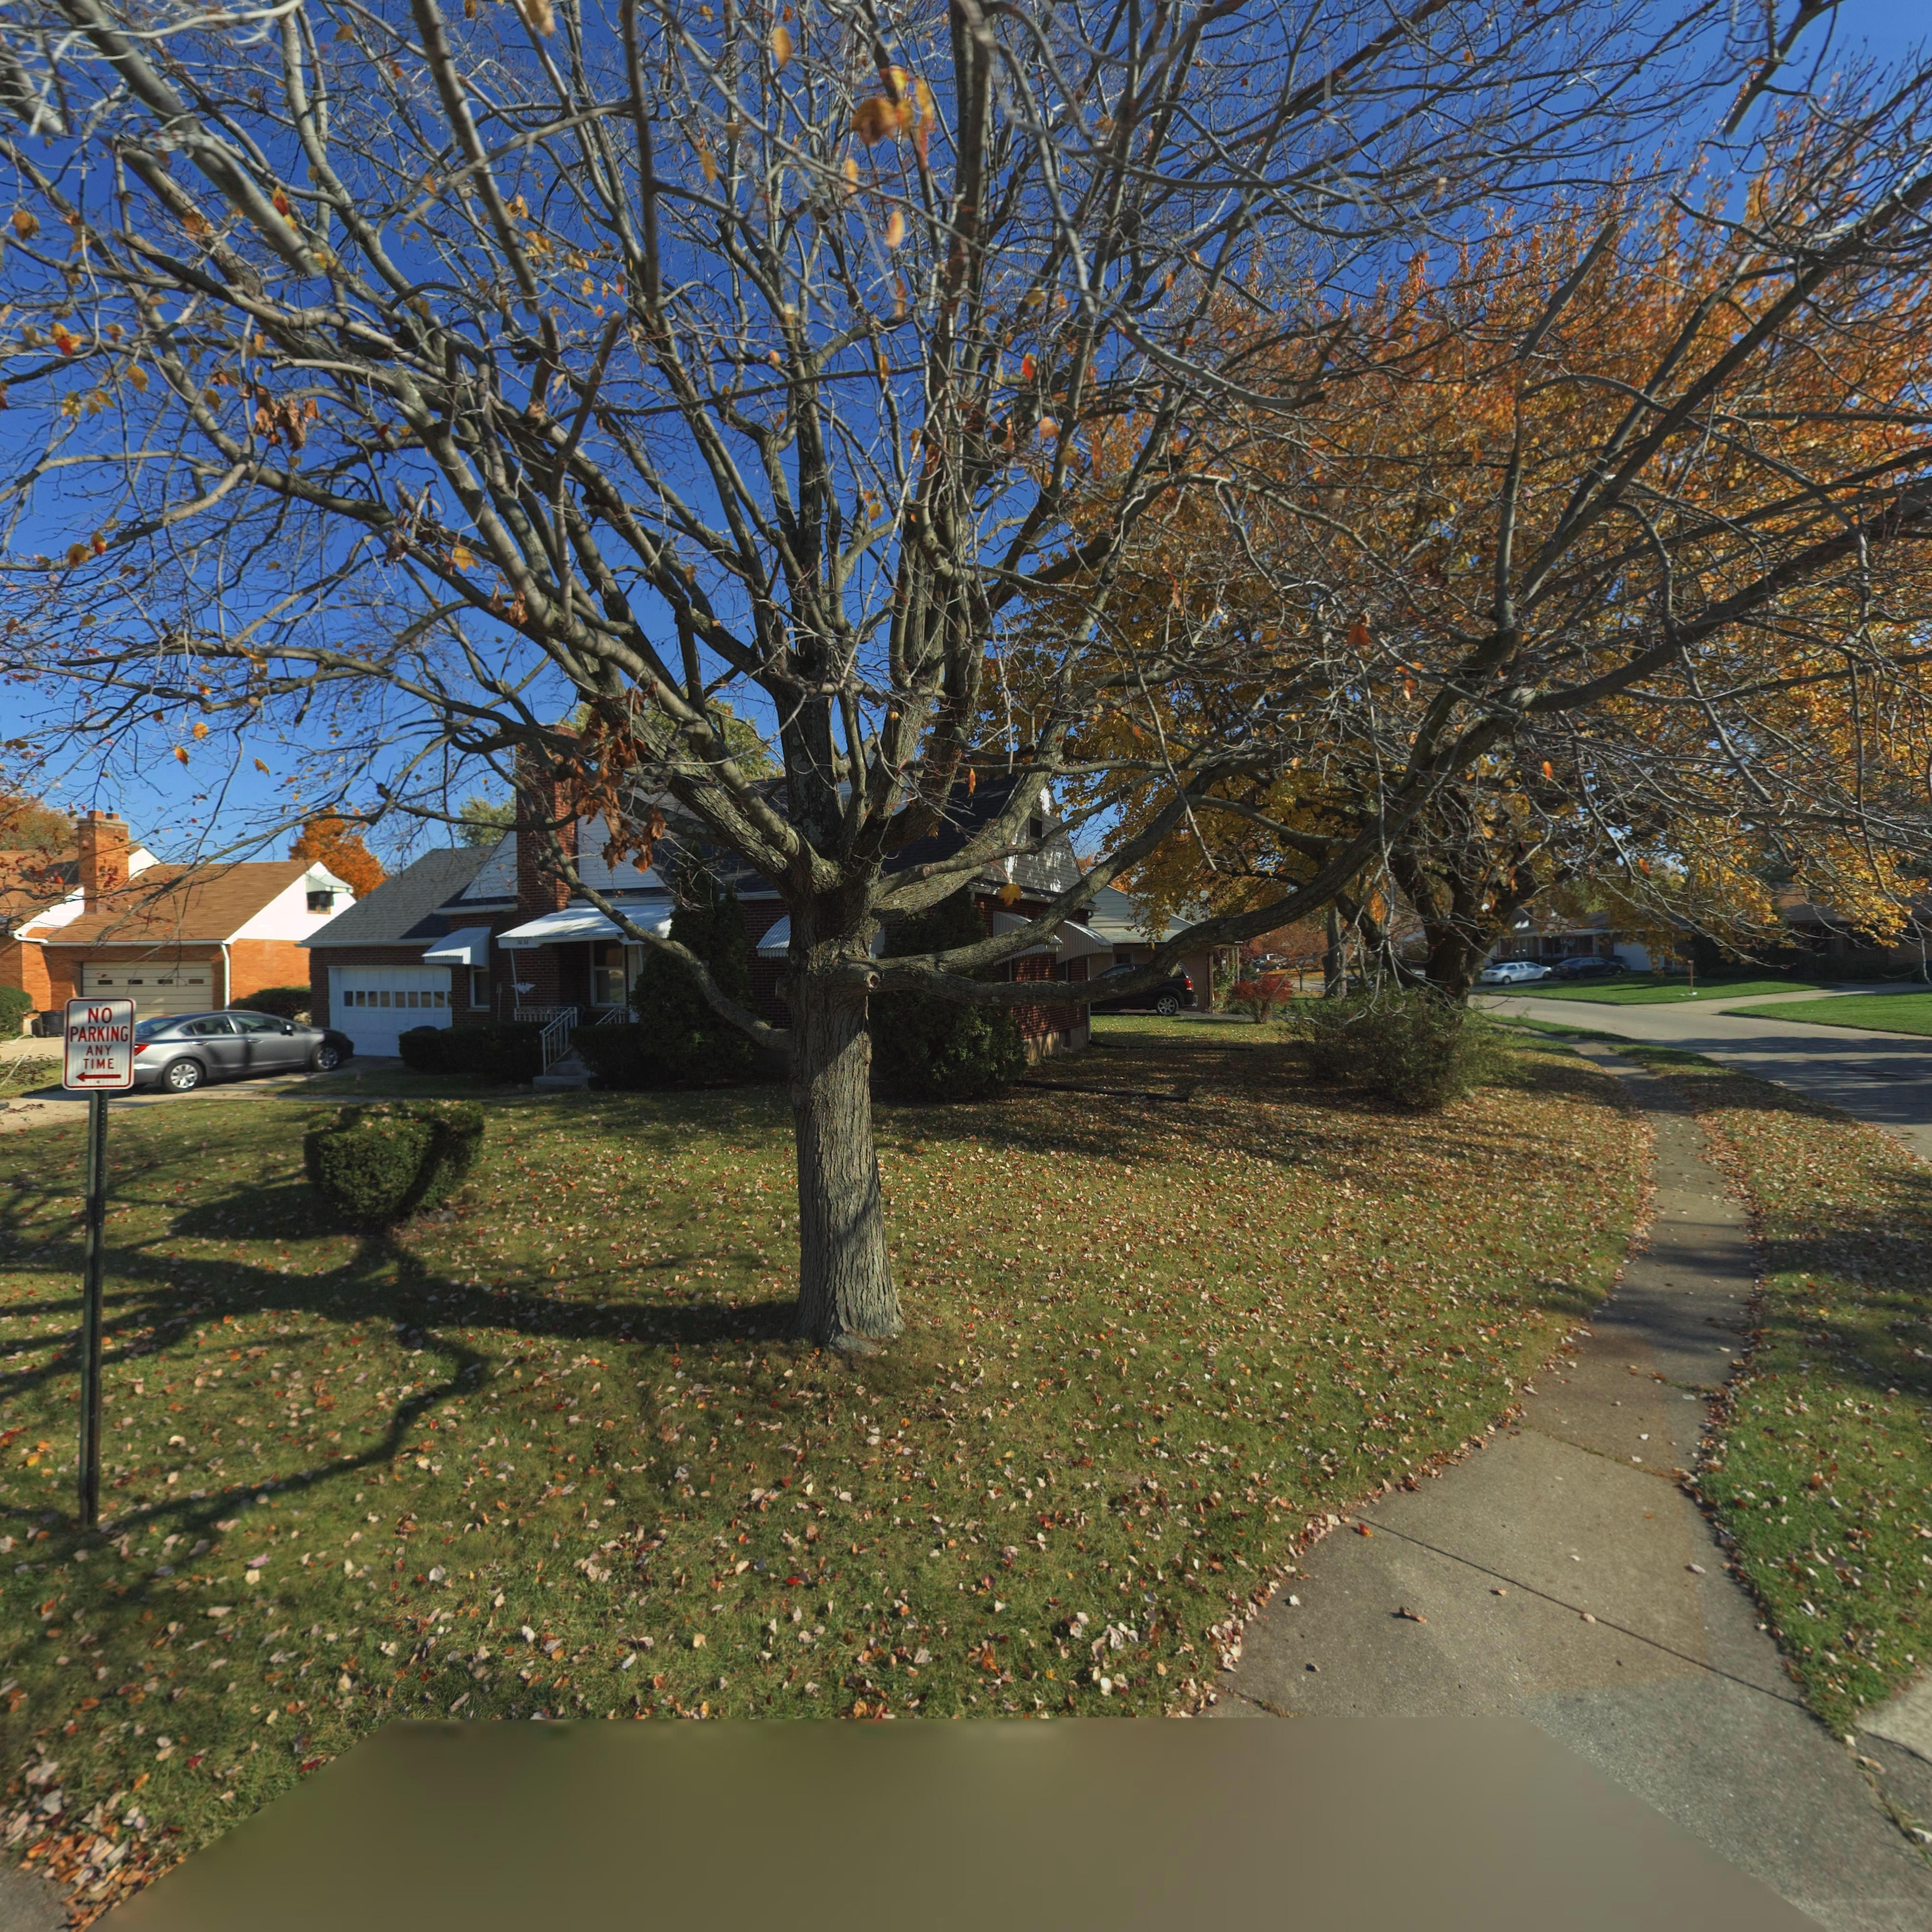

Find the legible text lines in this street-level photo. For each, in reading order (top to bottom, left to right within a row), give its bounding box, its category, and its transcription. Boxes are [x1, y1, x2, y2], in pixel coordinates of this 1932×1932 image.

[516, 938, 529, 946] StreetNumber: 3*3*
[87, 1007, 112, 1024] None: NO
[69, 1025, 129, 1043] None: PARKING
[85, 1044, 114, 1056] None: ANY
[82, 1058, 115, 1070] None: TIME